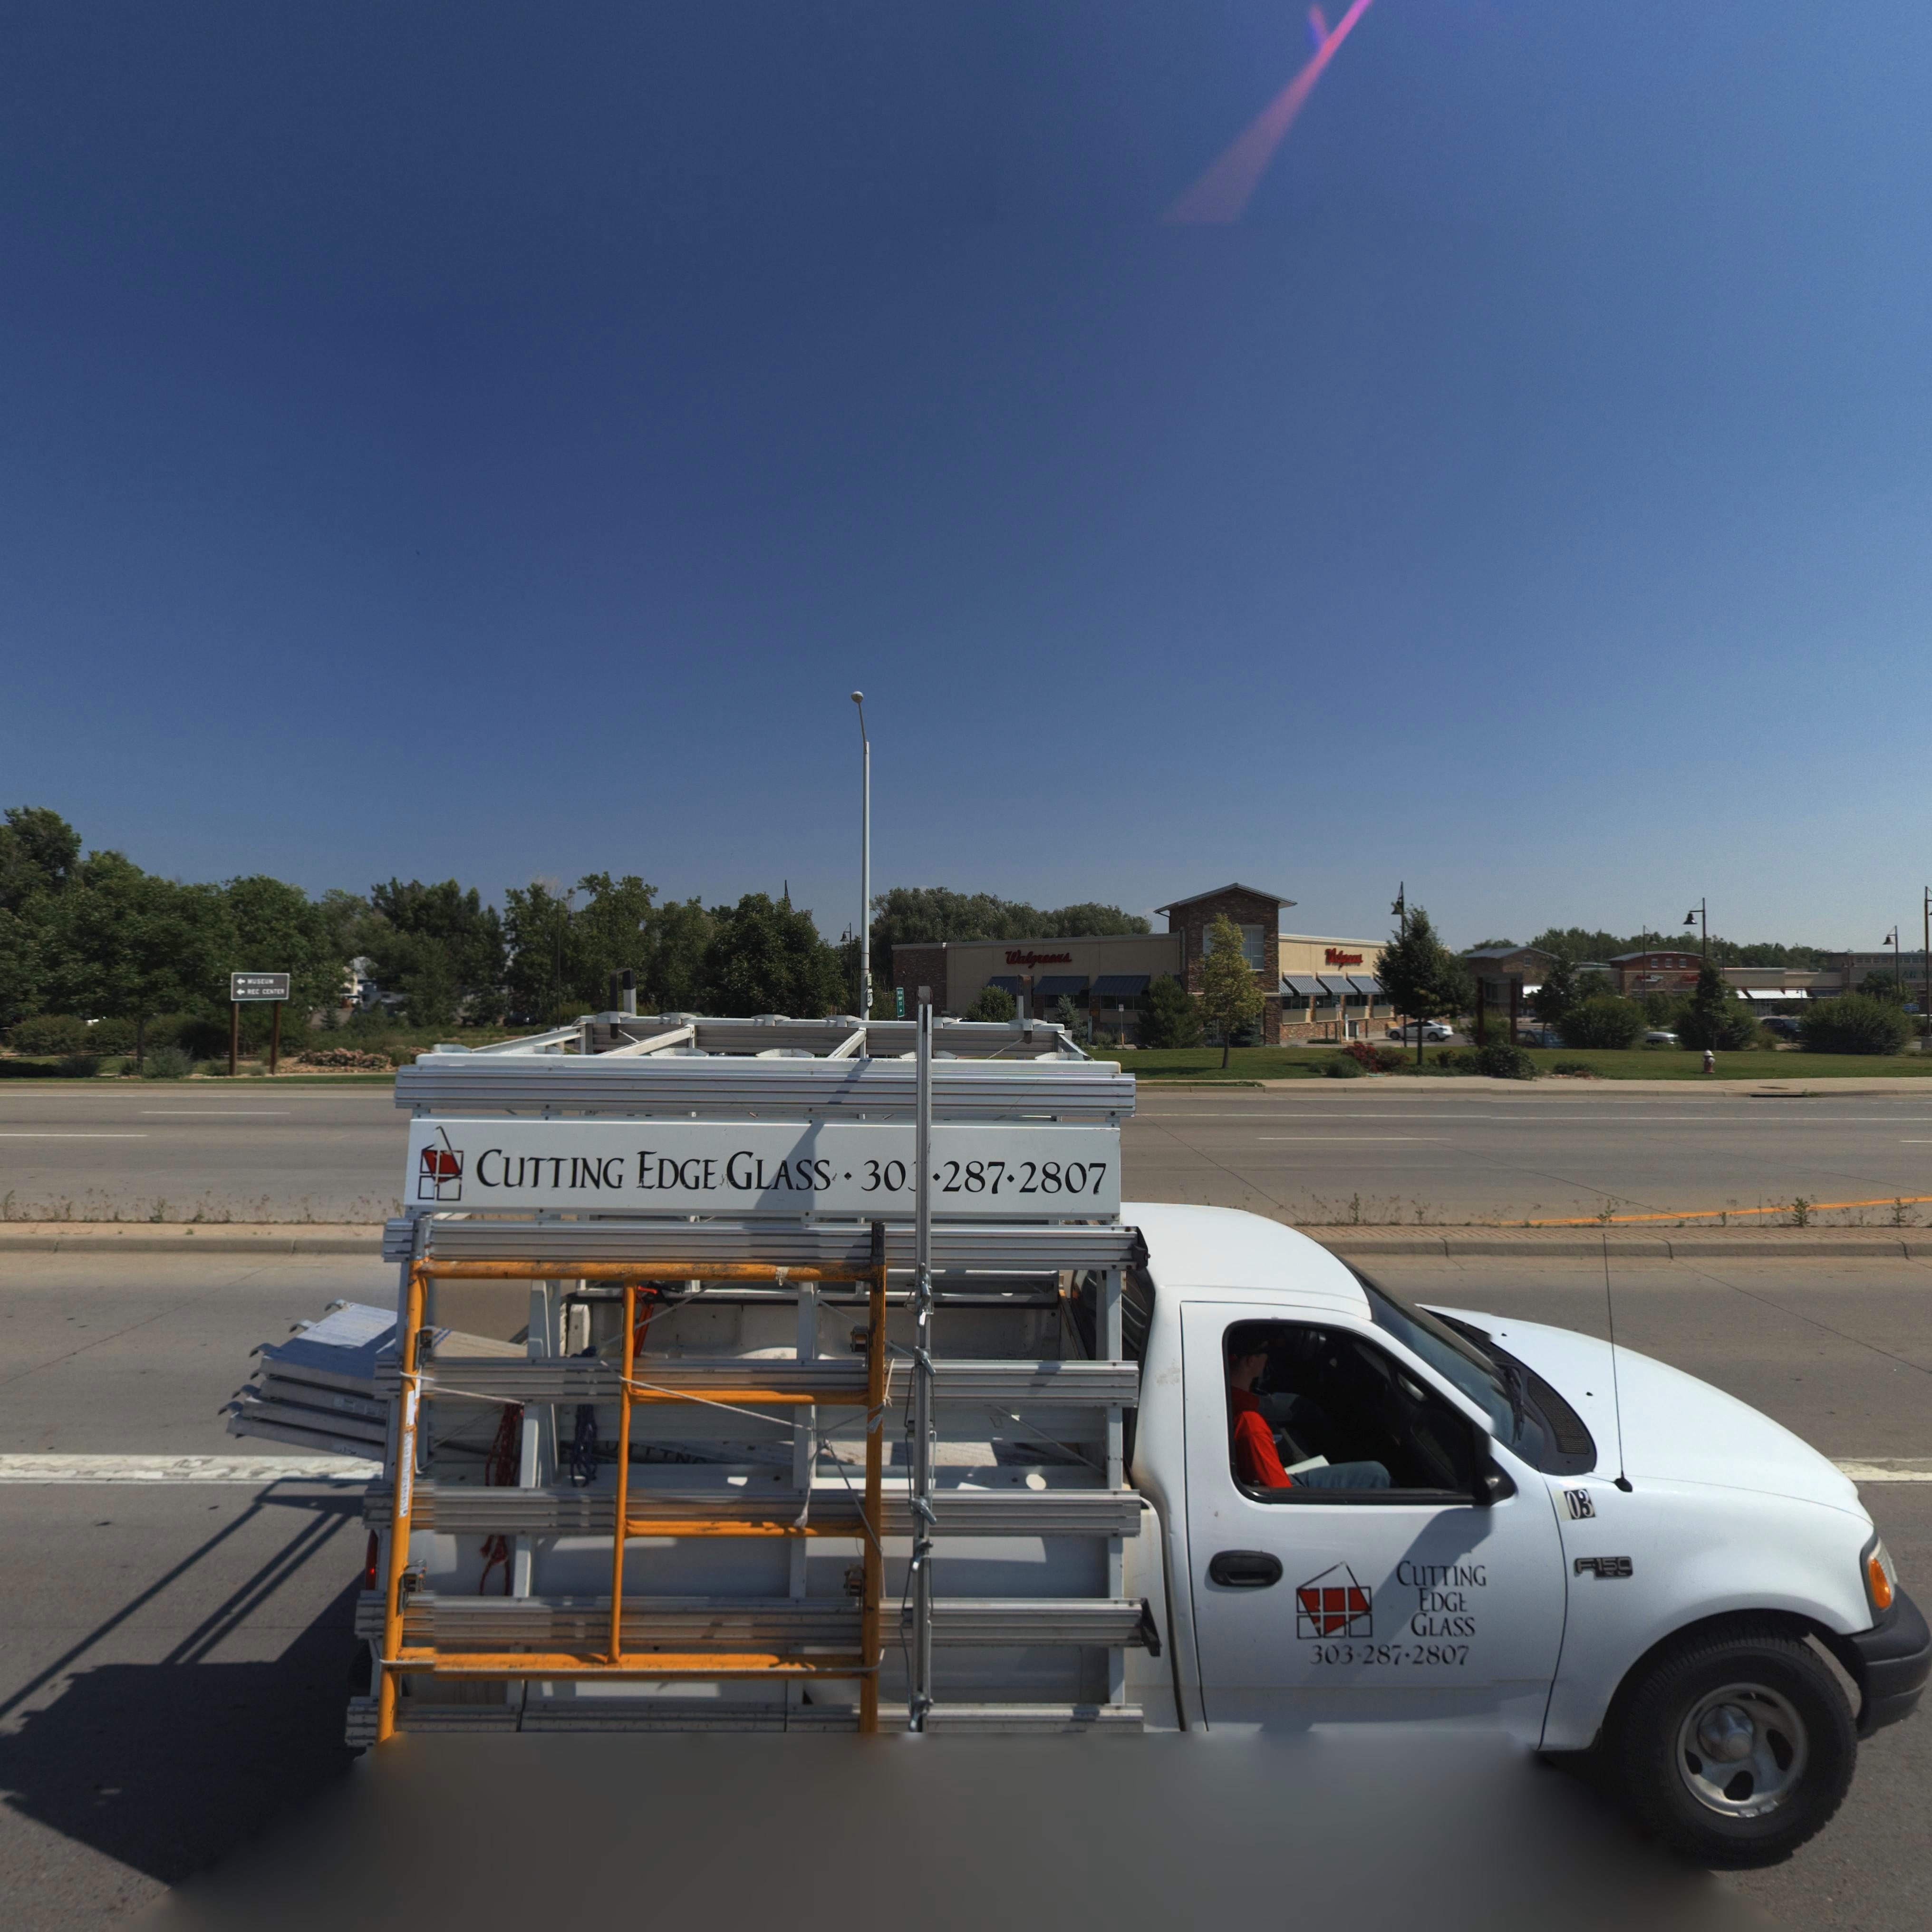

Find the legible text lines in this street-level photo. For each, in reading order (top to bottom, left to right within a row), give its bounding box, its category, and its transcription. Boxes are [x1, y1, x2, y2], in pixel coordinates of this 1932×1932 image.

[1004, 949, 1072, 969] BusinessName: Walgreens
[1325, 947, 1363, 967] BusinessName: Walg*****